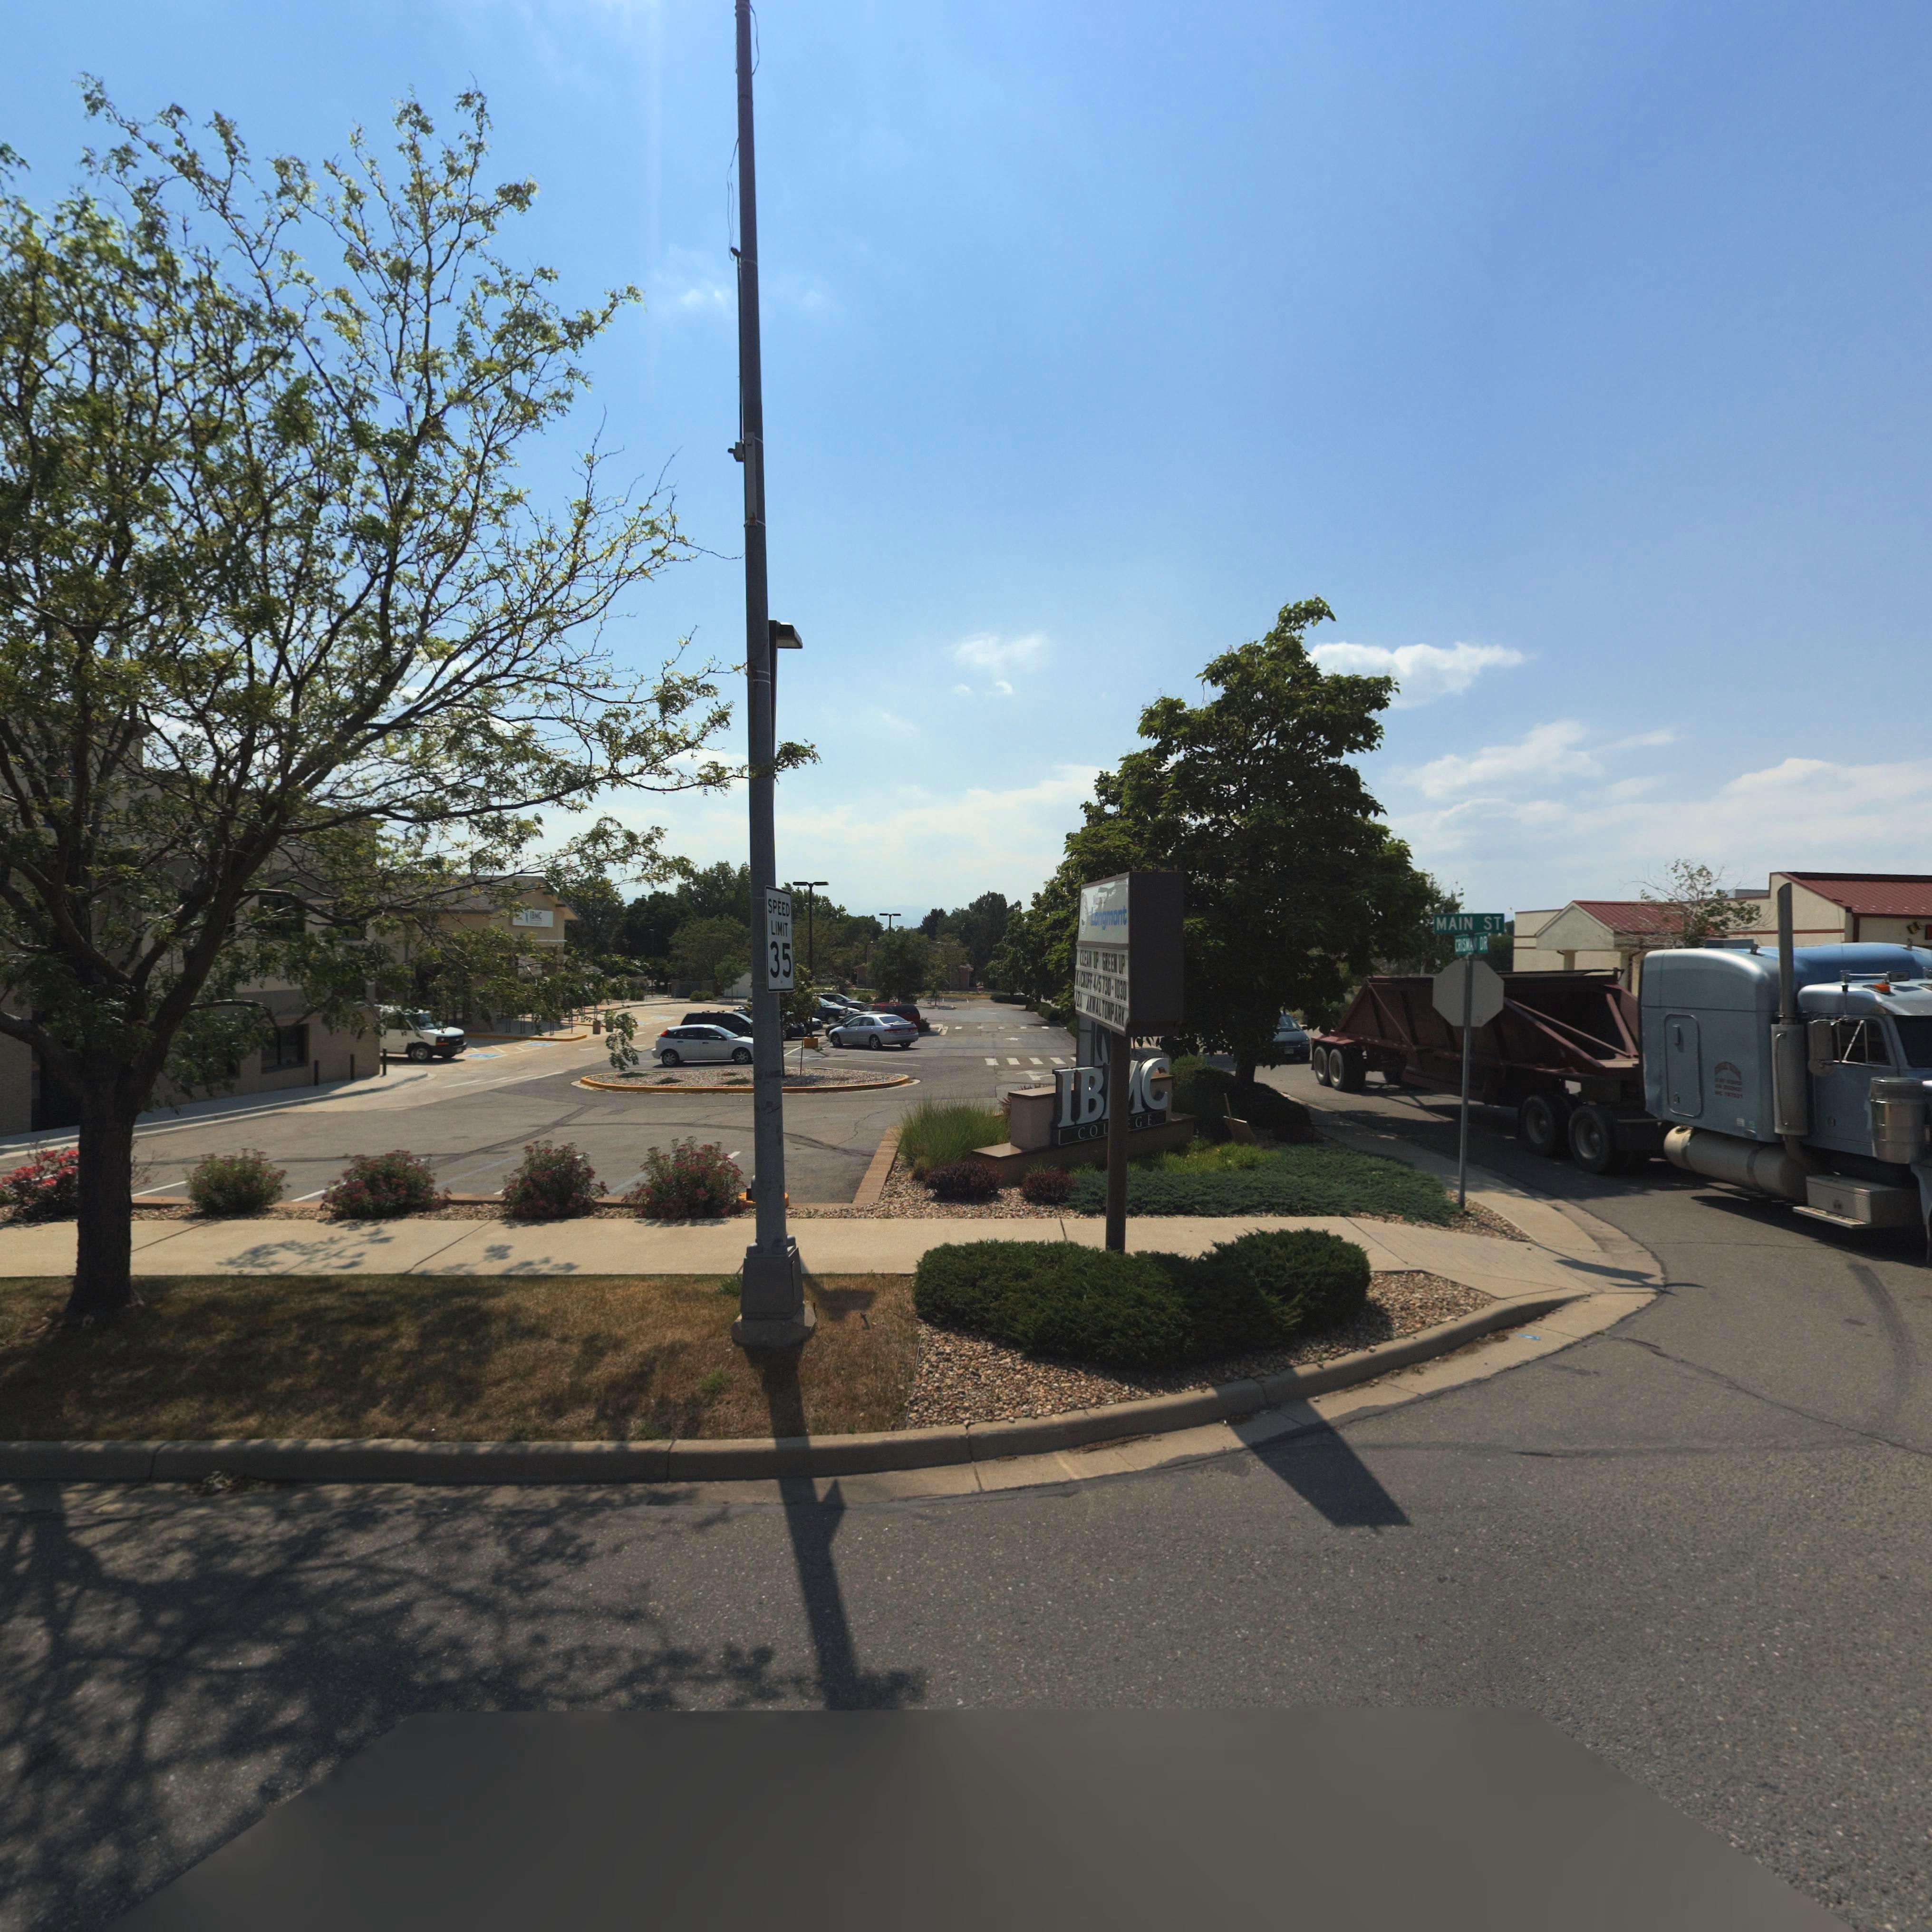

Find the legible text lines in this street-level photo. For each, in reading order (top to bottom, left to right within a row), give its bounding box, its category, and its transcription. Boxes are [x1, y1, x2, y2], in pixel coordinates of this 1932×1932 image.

[529, 910, 542, 919] BusinessName: IBMC
[1436, 915, 1502, 931] StreetName: MAIN ST
[1907, 921, 1925, 935] BusinessName: EL
[1454, 935, 1488, 952] StreetName: CRISMAN DR
[1052, 1055, 1169, 1128] BusinessName: IB*C
[1077, 1113, 1152, 1140] BusinessName: COL**GE